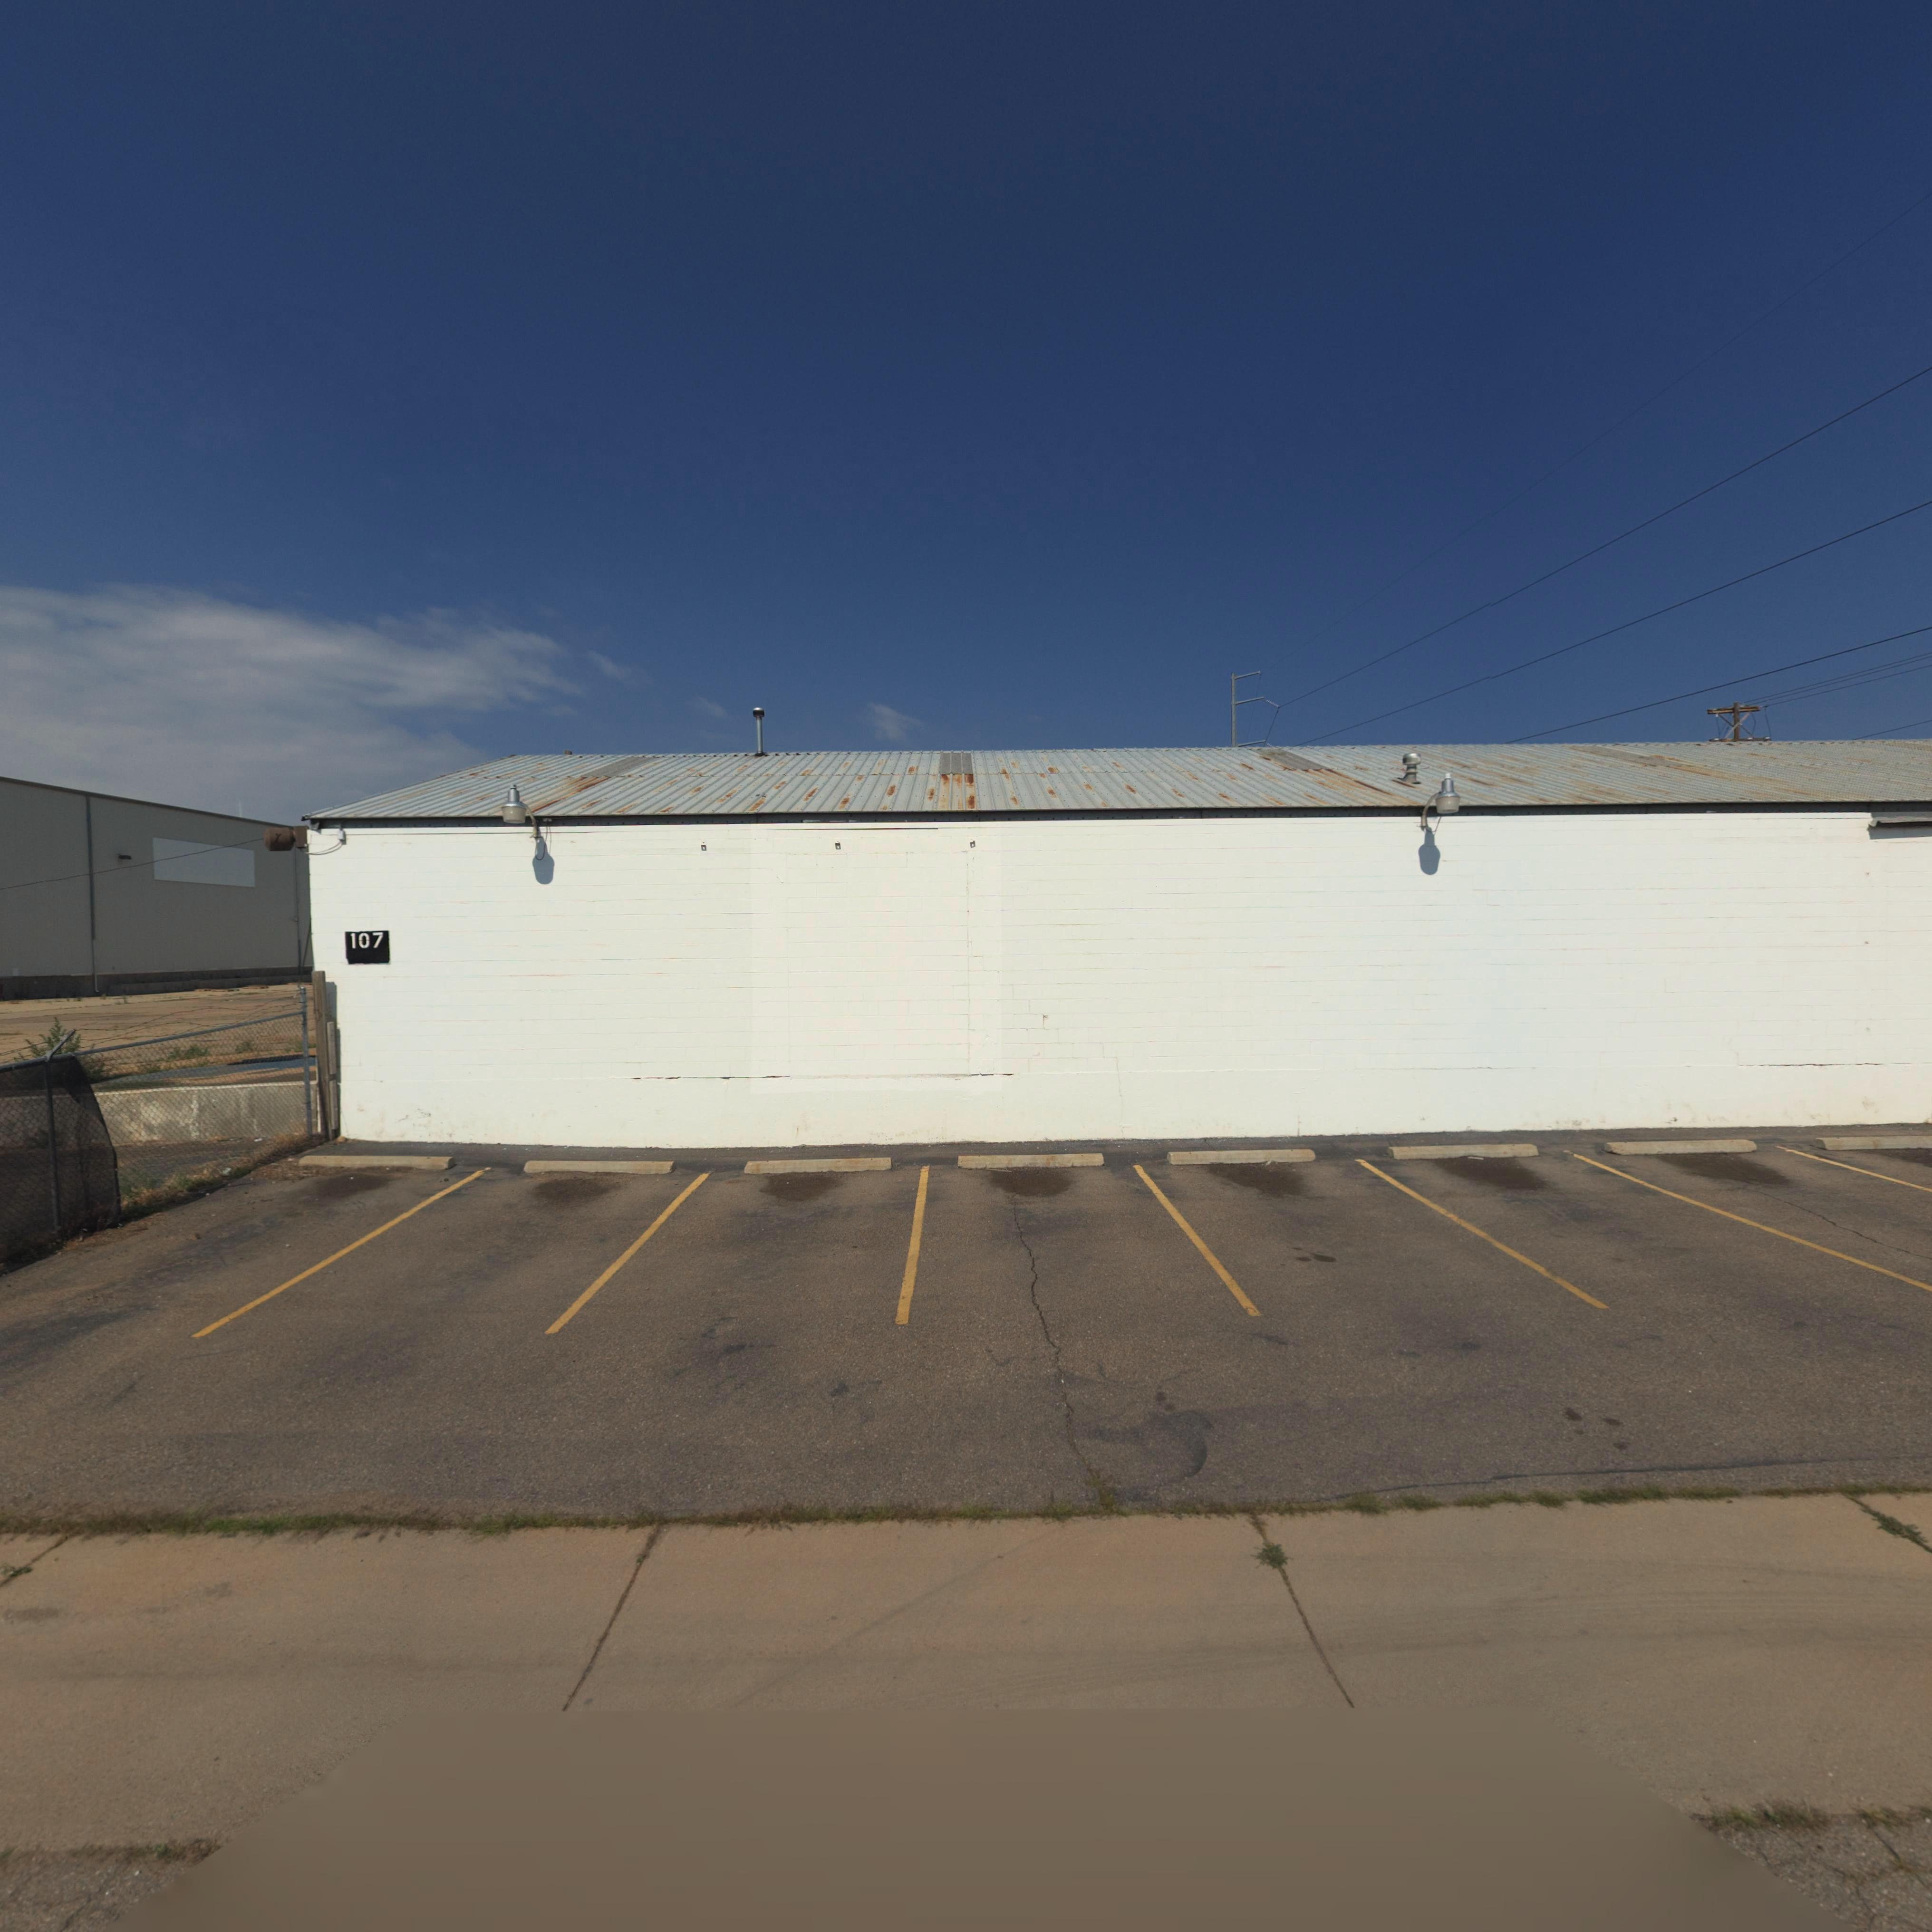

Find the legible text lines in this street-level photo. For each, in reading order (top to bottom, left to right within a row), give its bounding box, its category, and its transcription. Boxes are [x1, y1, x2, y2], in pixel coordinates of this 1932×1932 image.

[349, 931, 384, 949] StreetNumber: 107